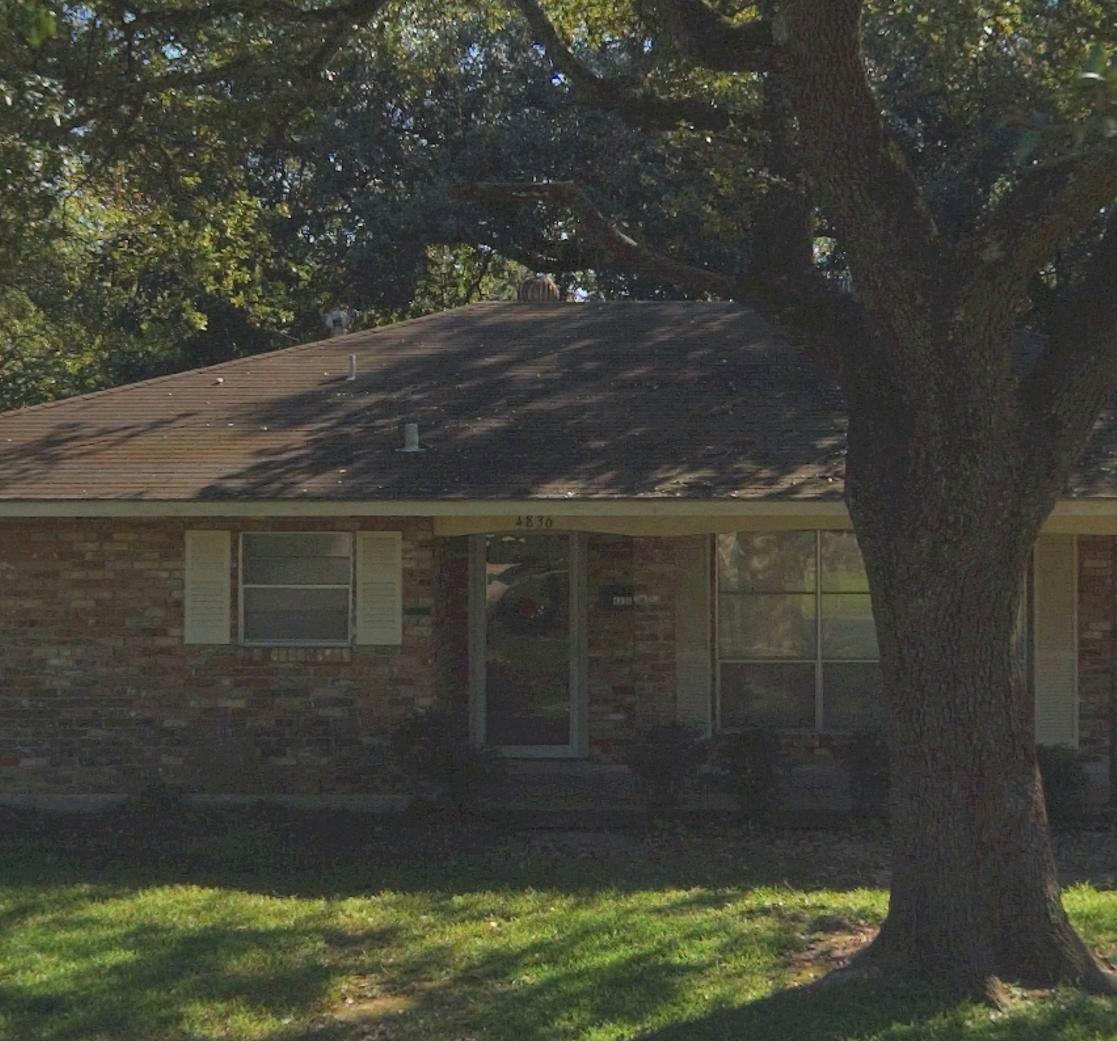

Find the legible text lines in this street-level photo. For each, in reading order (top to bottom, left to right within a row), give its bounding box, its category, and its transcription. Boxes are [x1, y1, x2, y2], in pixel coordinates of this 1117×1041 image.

[515, 515, 554, 529] StreetNumber: 4836